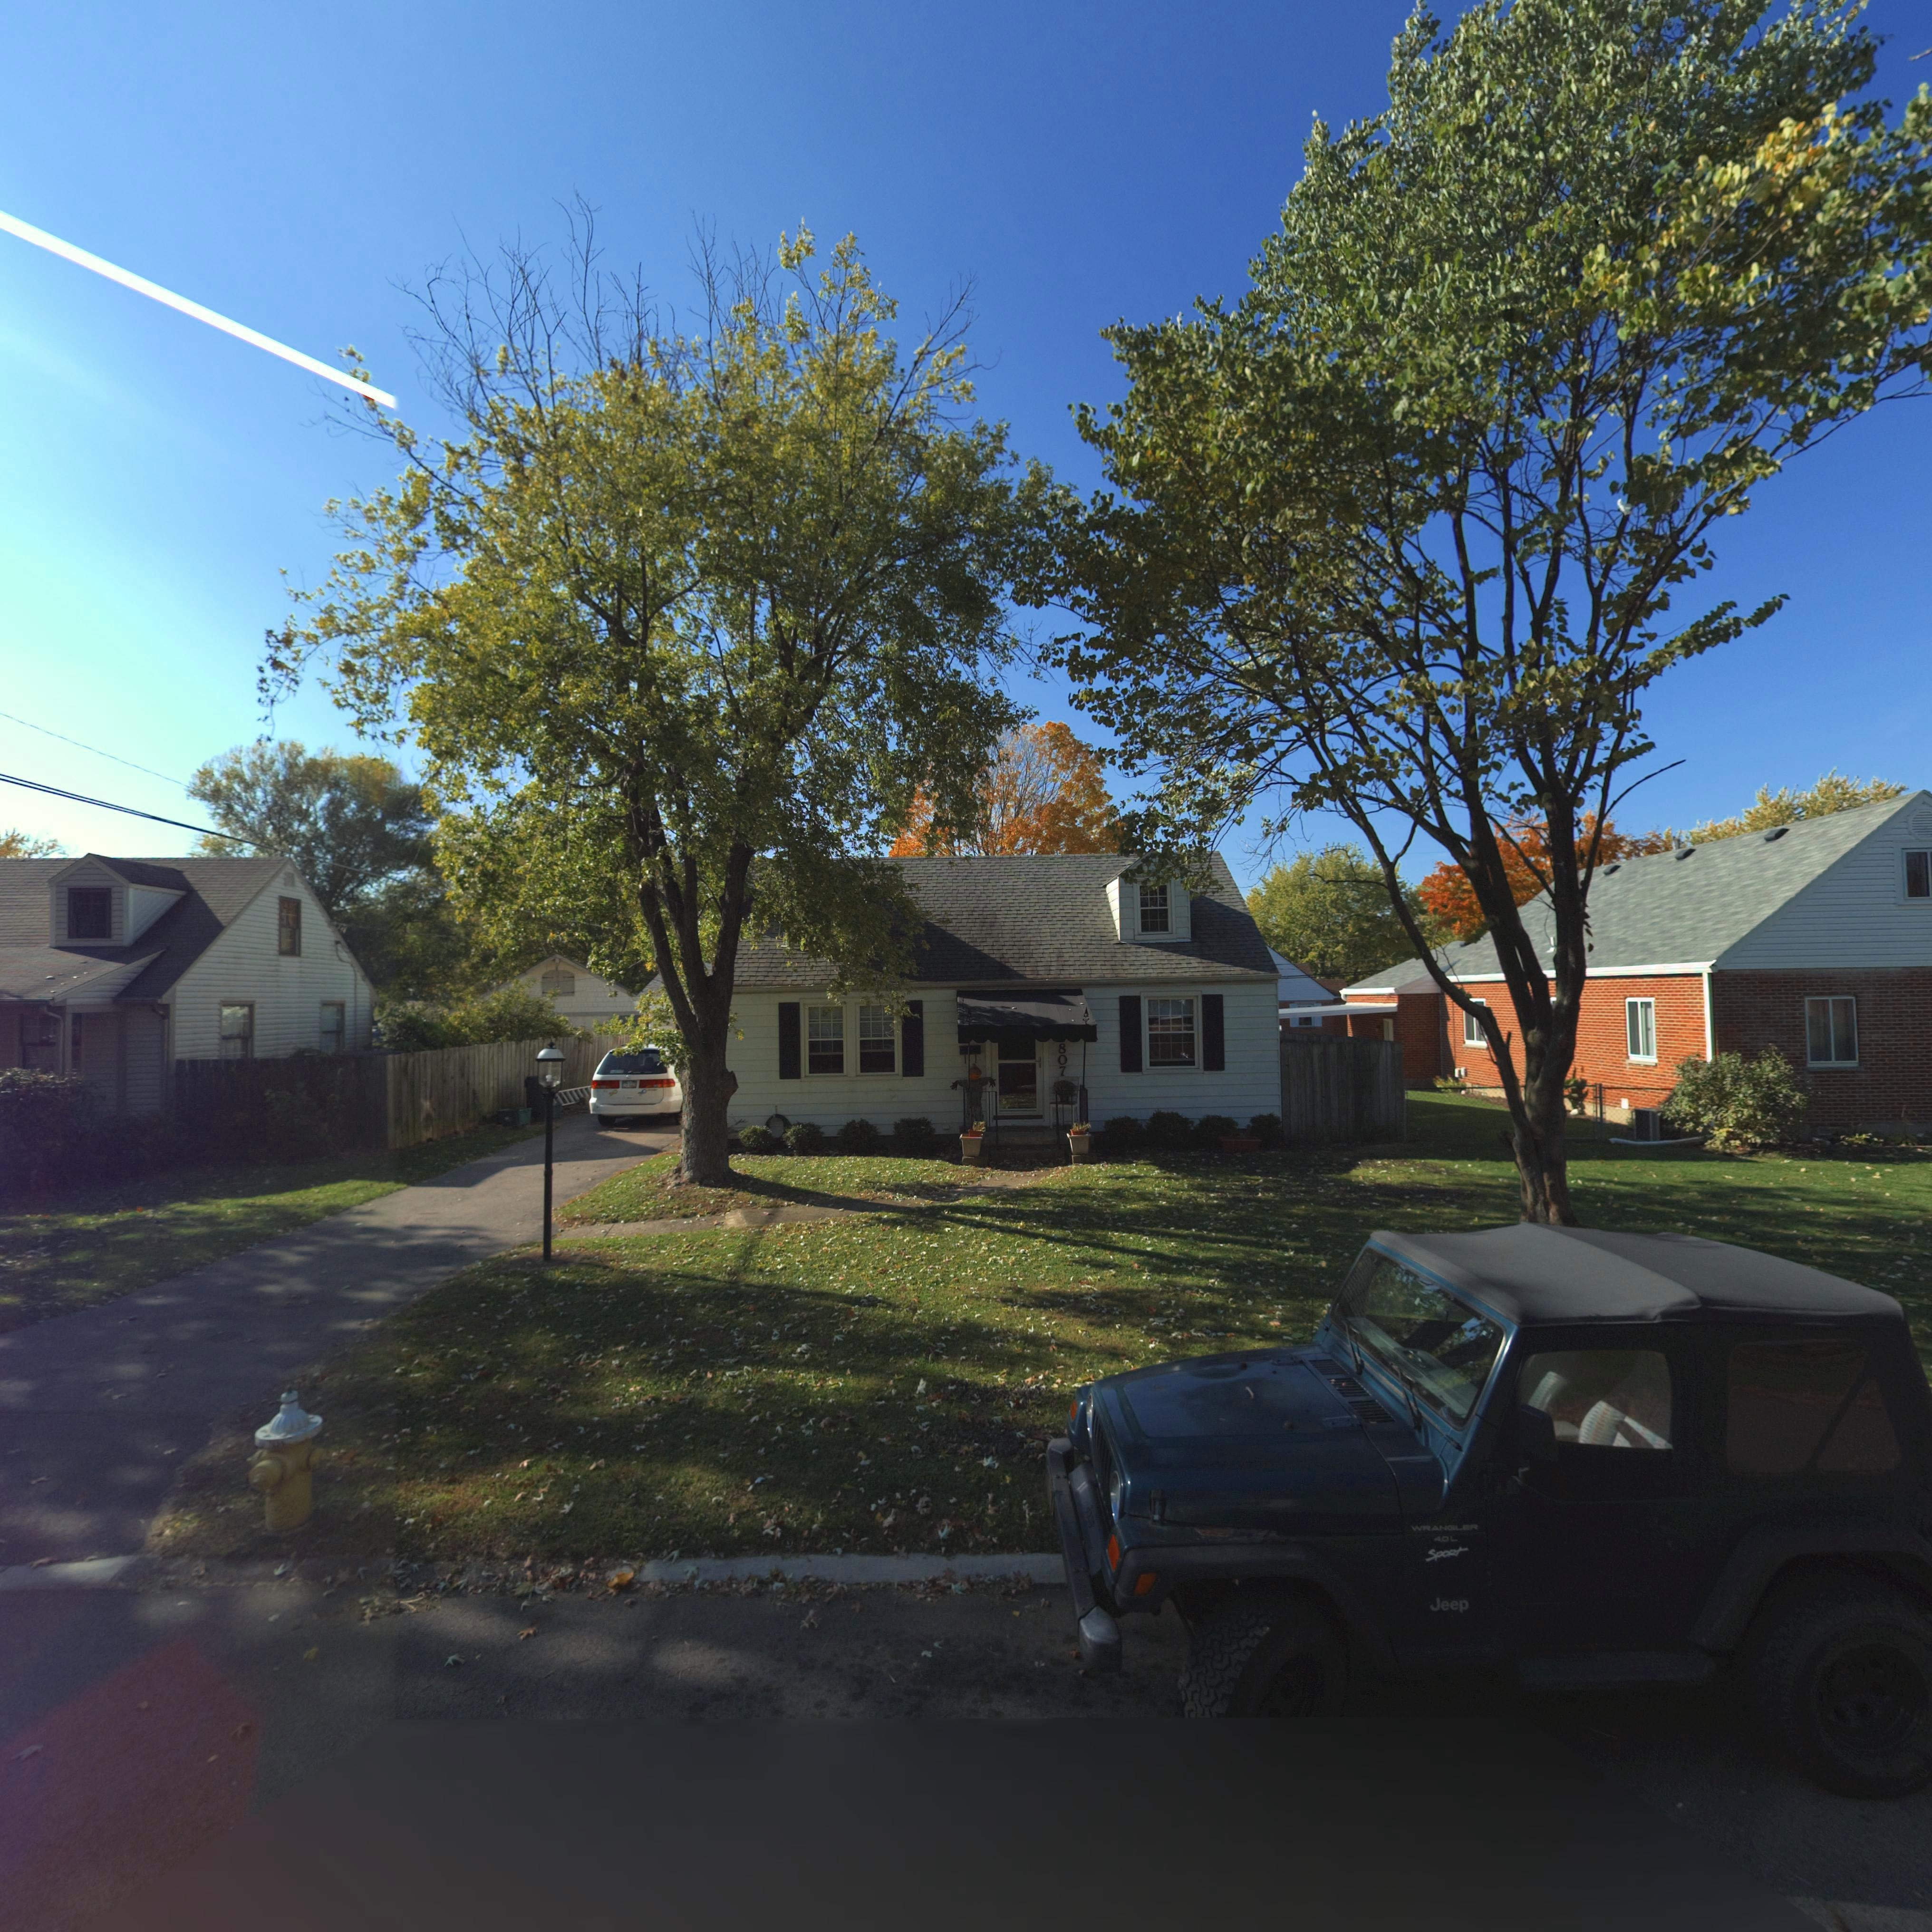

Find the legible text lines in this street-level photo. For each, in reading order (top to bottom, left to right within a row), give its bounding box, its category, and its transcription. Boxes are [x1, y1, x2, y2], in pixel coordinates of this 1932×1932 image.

[1057, 1043, 1068, 1077] StreetNumber: 807